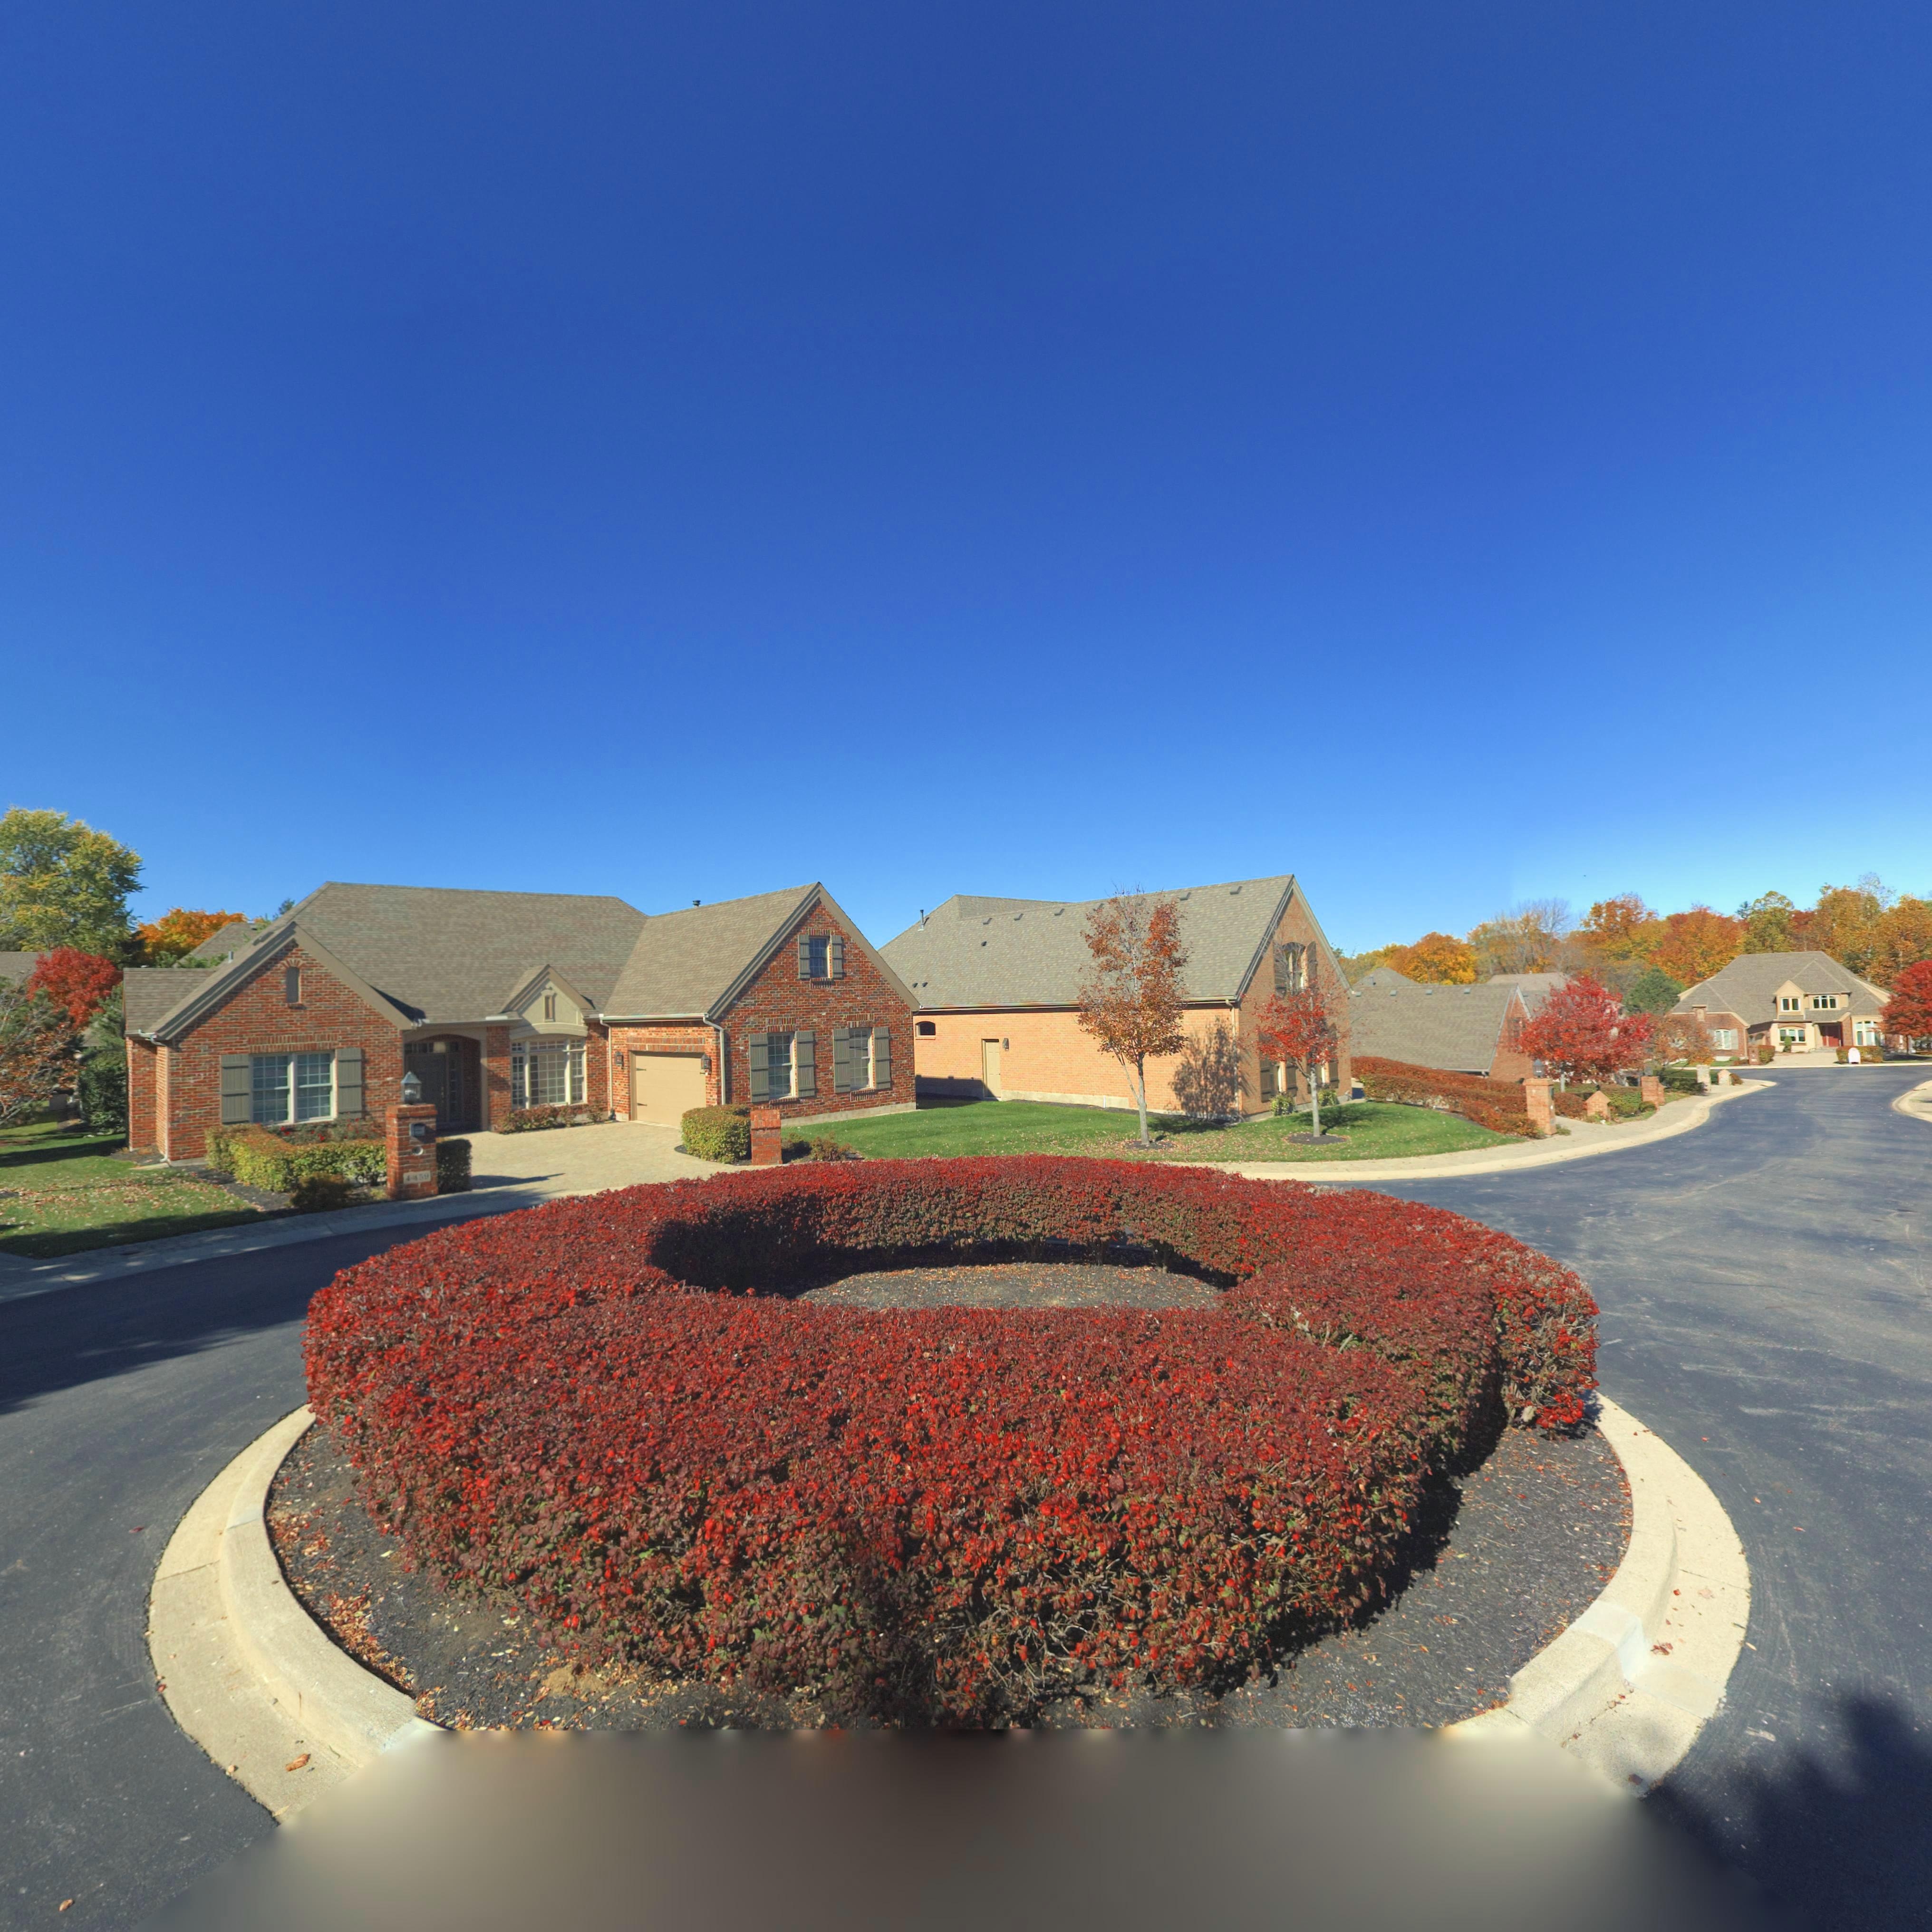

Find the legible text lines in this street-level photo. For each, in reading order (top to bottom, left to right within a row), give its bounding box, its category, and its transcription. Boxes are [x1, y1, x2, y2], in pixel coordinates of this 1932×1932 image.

[405, 1172, 430, 1182] StreetNumber: 4*59